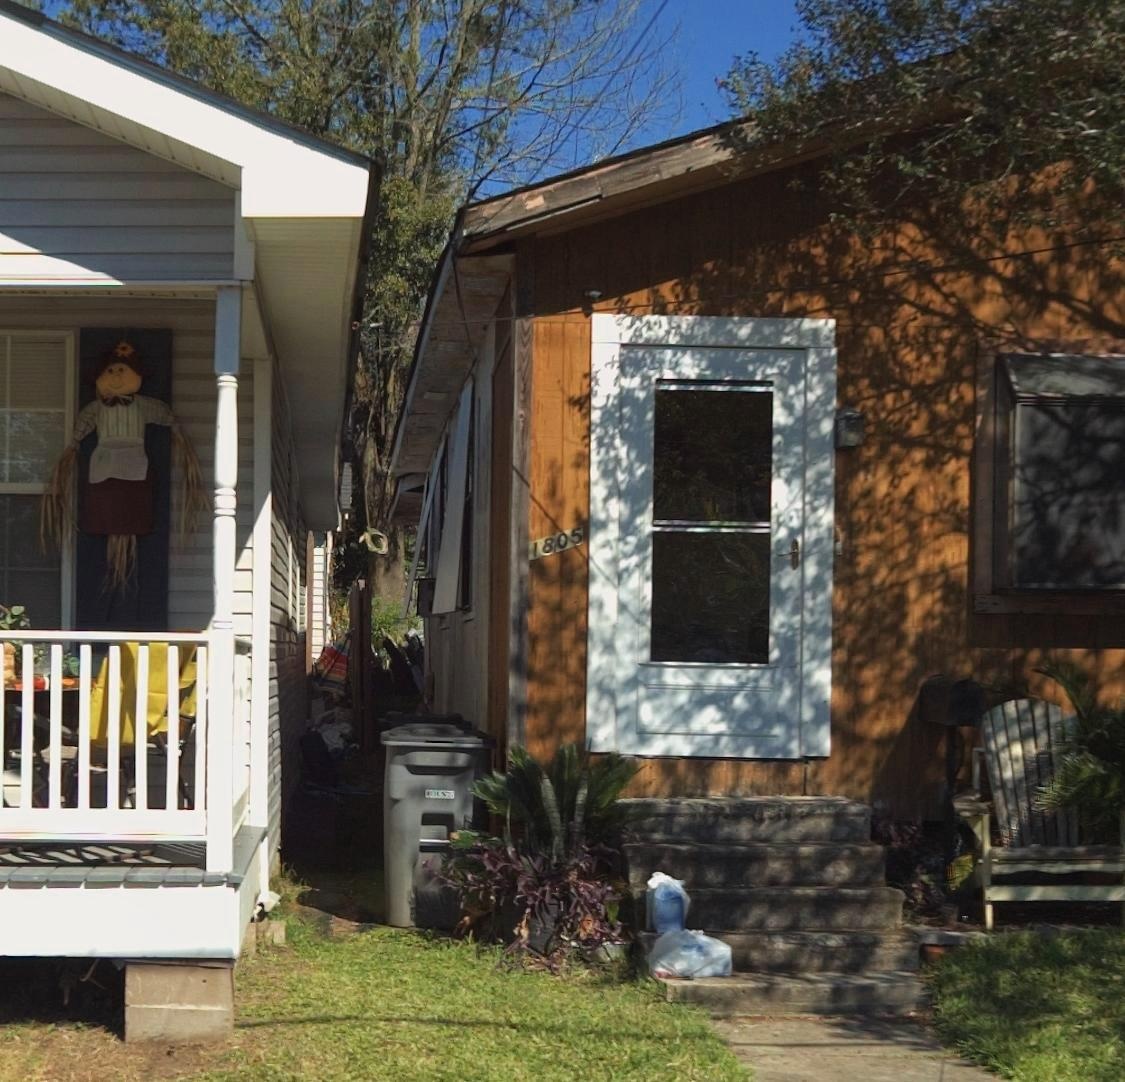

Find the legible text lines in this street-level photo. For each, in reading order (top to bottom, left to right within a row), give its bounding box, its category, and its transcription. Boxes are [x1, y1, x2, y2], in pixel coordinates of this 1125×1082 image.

[531, 522, 585, 561] StreetNumber: 1805